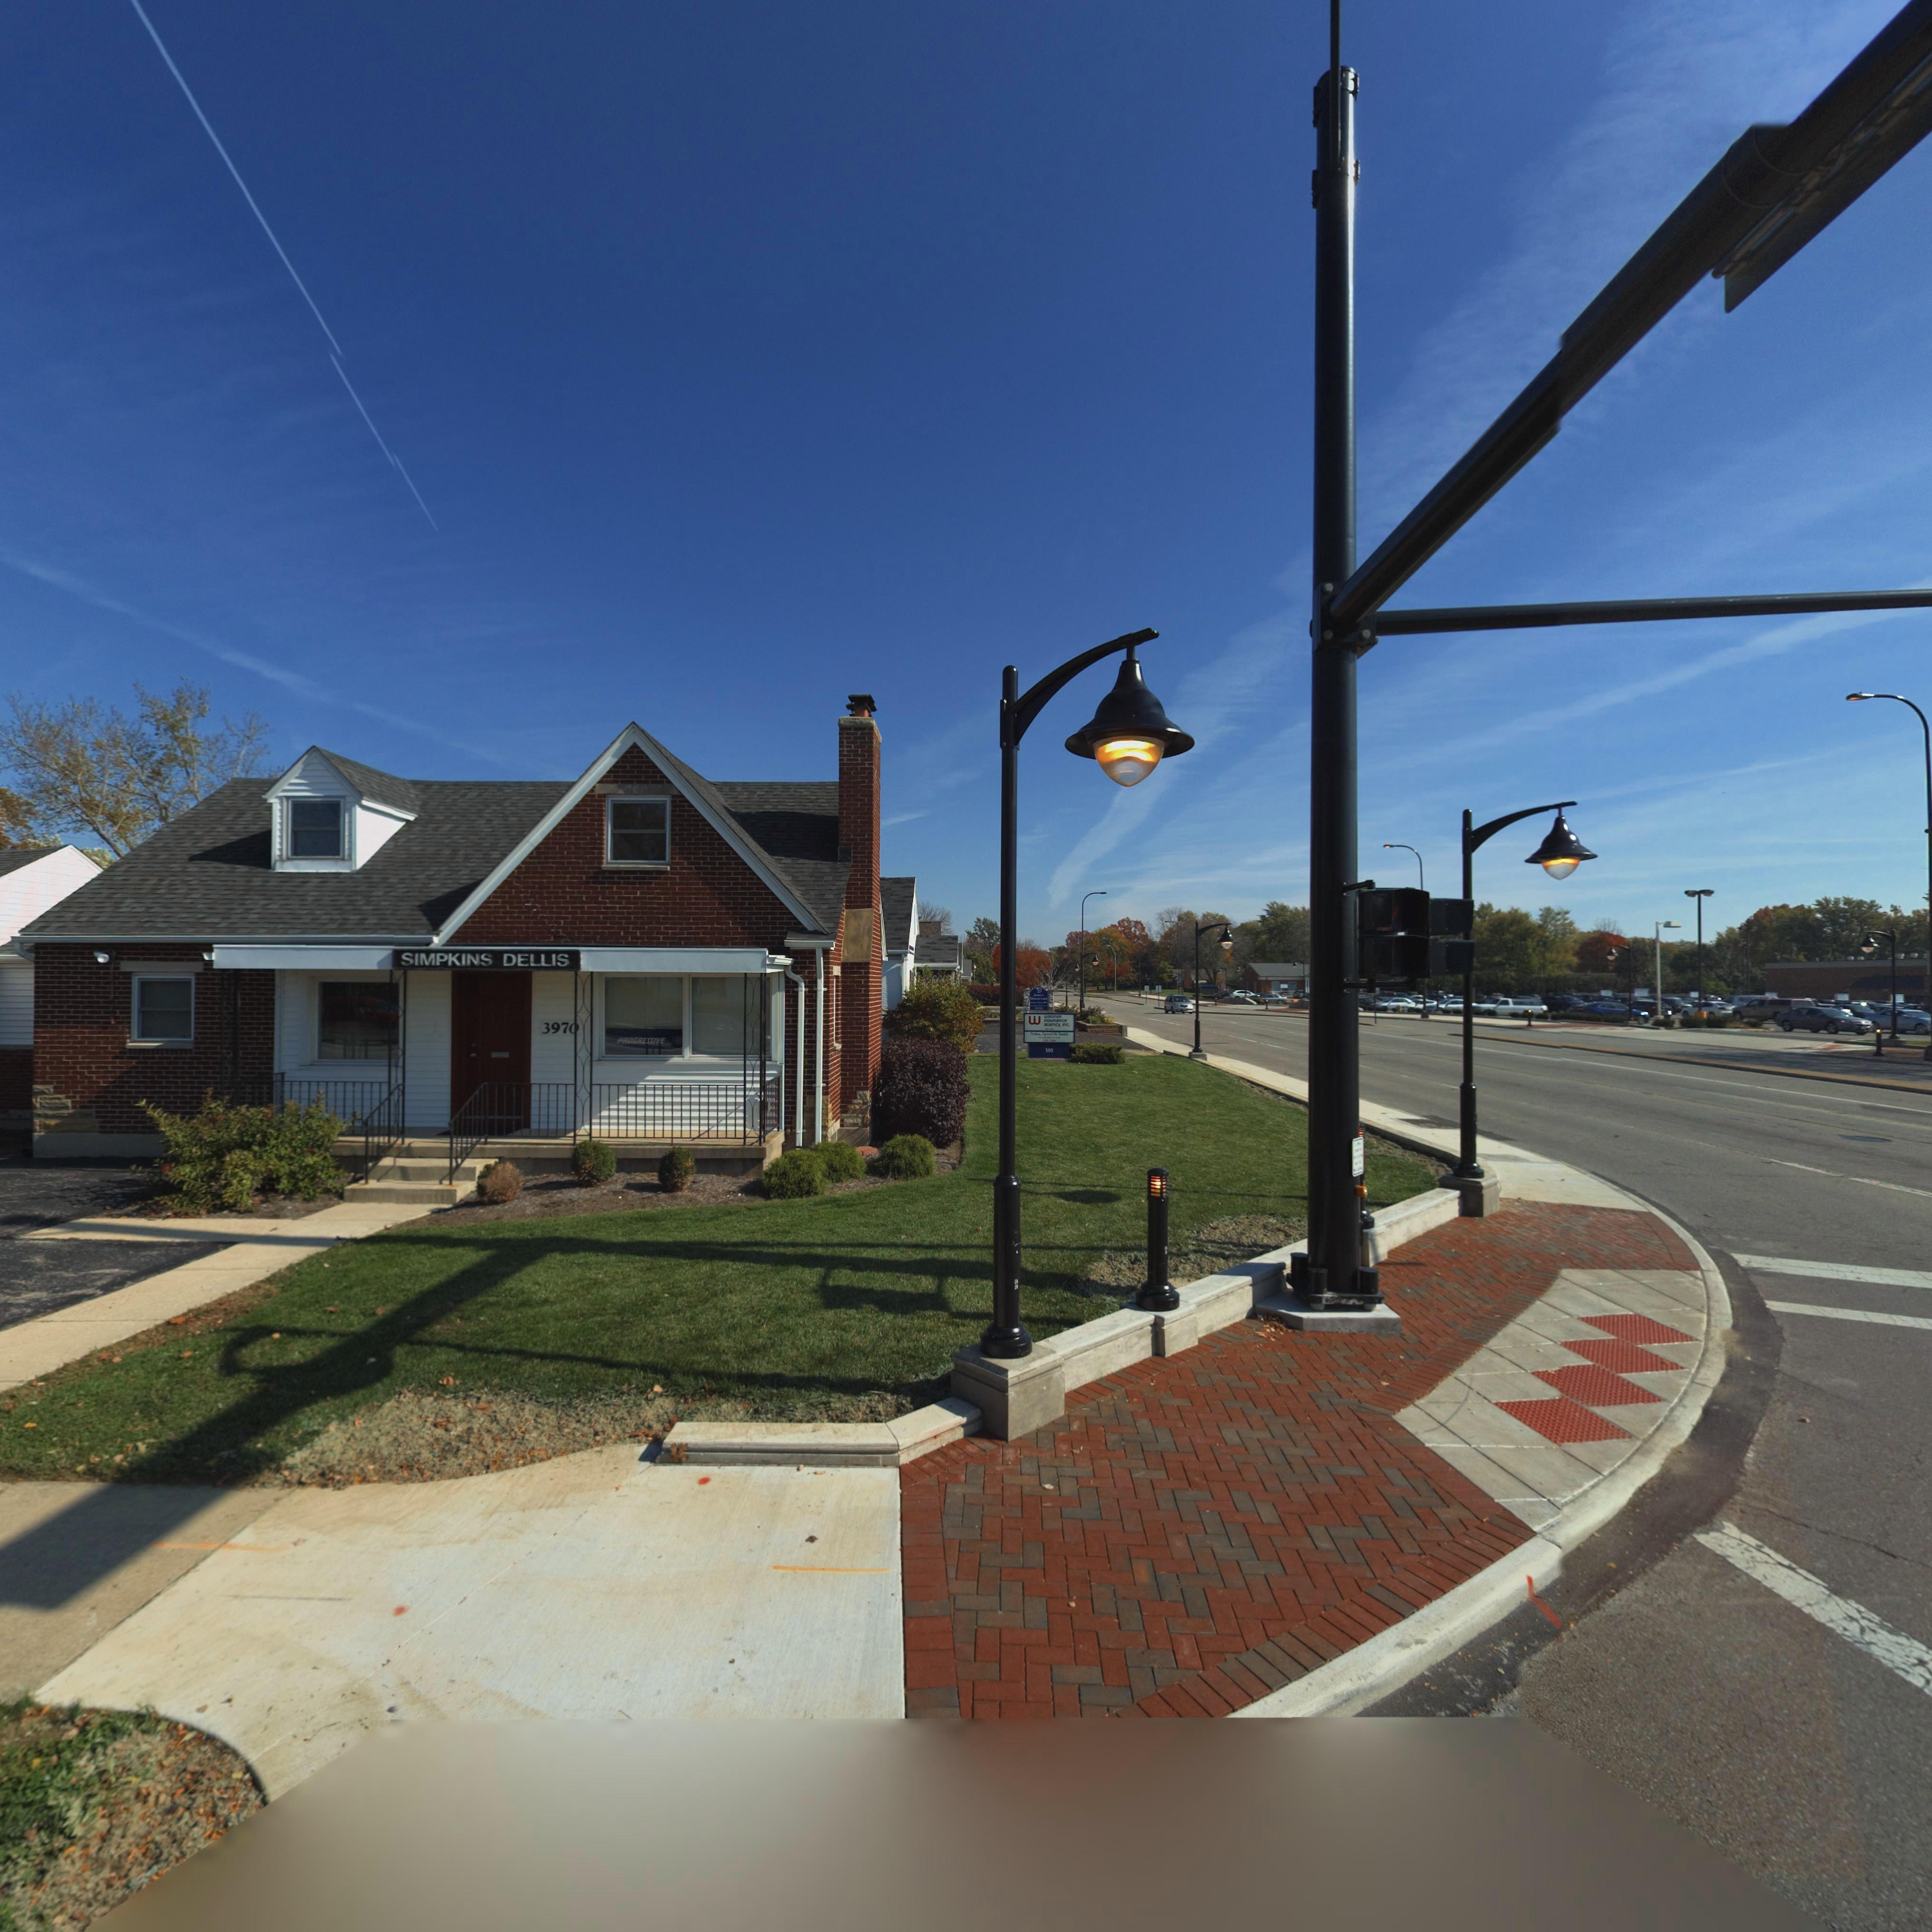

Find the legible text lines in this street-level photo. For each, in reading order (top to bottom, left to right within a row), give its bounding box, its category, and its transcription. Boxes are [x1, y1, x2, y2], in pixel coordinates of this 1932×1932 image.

[401, 952, 570, 967] None: SIMPKINS DELLIS
[1028, 1015, 1041, 1025] None: w
[1043, 1014, 1062, 1019] BusinessName: waGneR
[1043, 1018, 1068, 1023] BusinessName: insuRance
[541, 1022, 580, 1034] StreetNumber: 397*
[1043, 1023, 1071, 1028] BusinessName: aGency, **c.
[616, 1037, 667, 1044] None: PROGRESSIVE
[1045, 1048, 1054, 1053] StreetNumber: 505